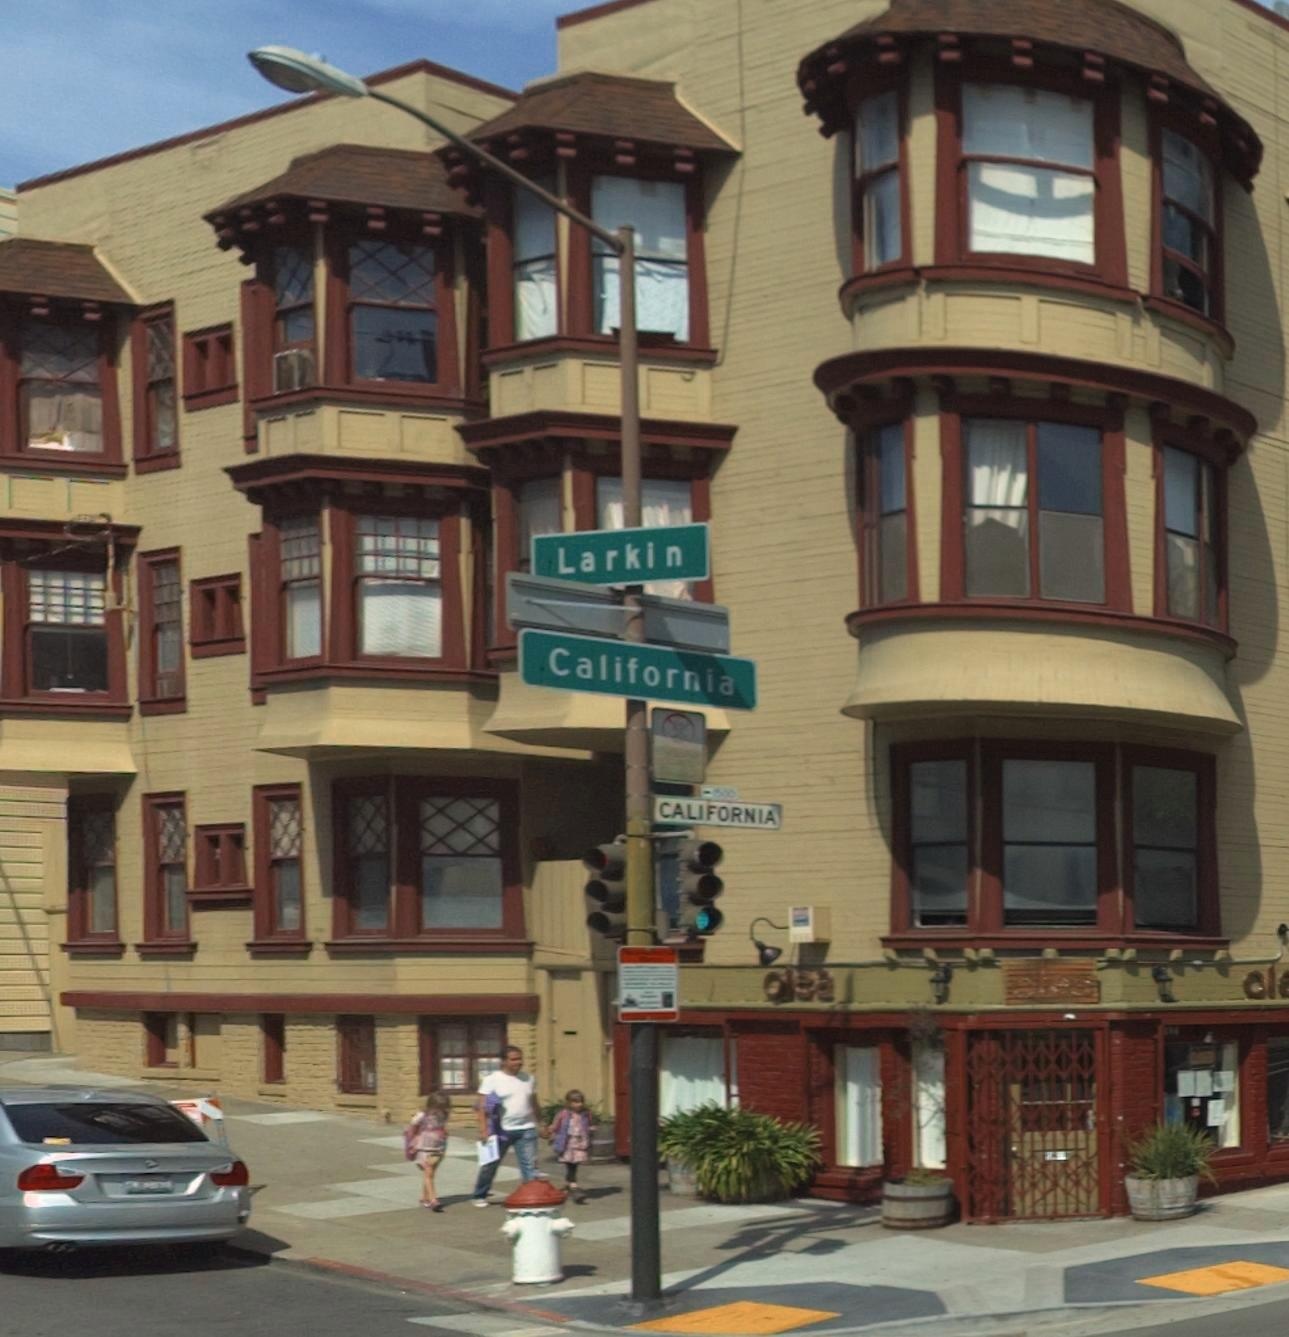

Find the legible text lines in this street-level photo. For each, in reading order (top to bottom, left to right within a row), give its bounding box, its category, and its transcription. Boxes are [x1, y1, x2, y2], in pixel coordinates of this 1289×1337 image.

[556, 539, 687, 577] StreetName: Larkin
[545, 644, 736, 699] StreetName: California
[700, 786, 739, 801] StreetNumberRange: <-**00
[656, 799, 781, 828] StreetName: CALIFORNIA